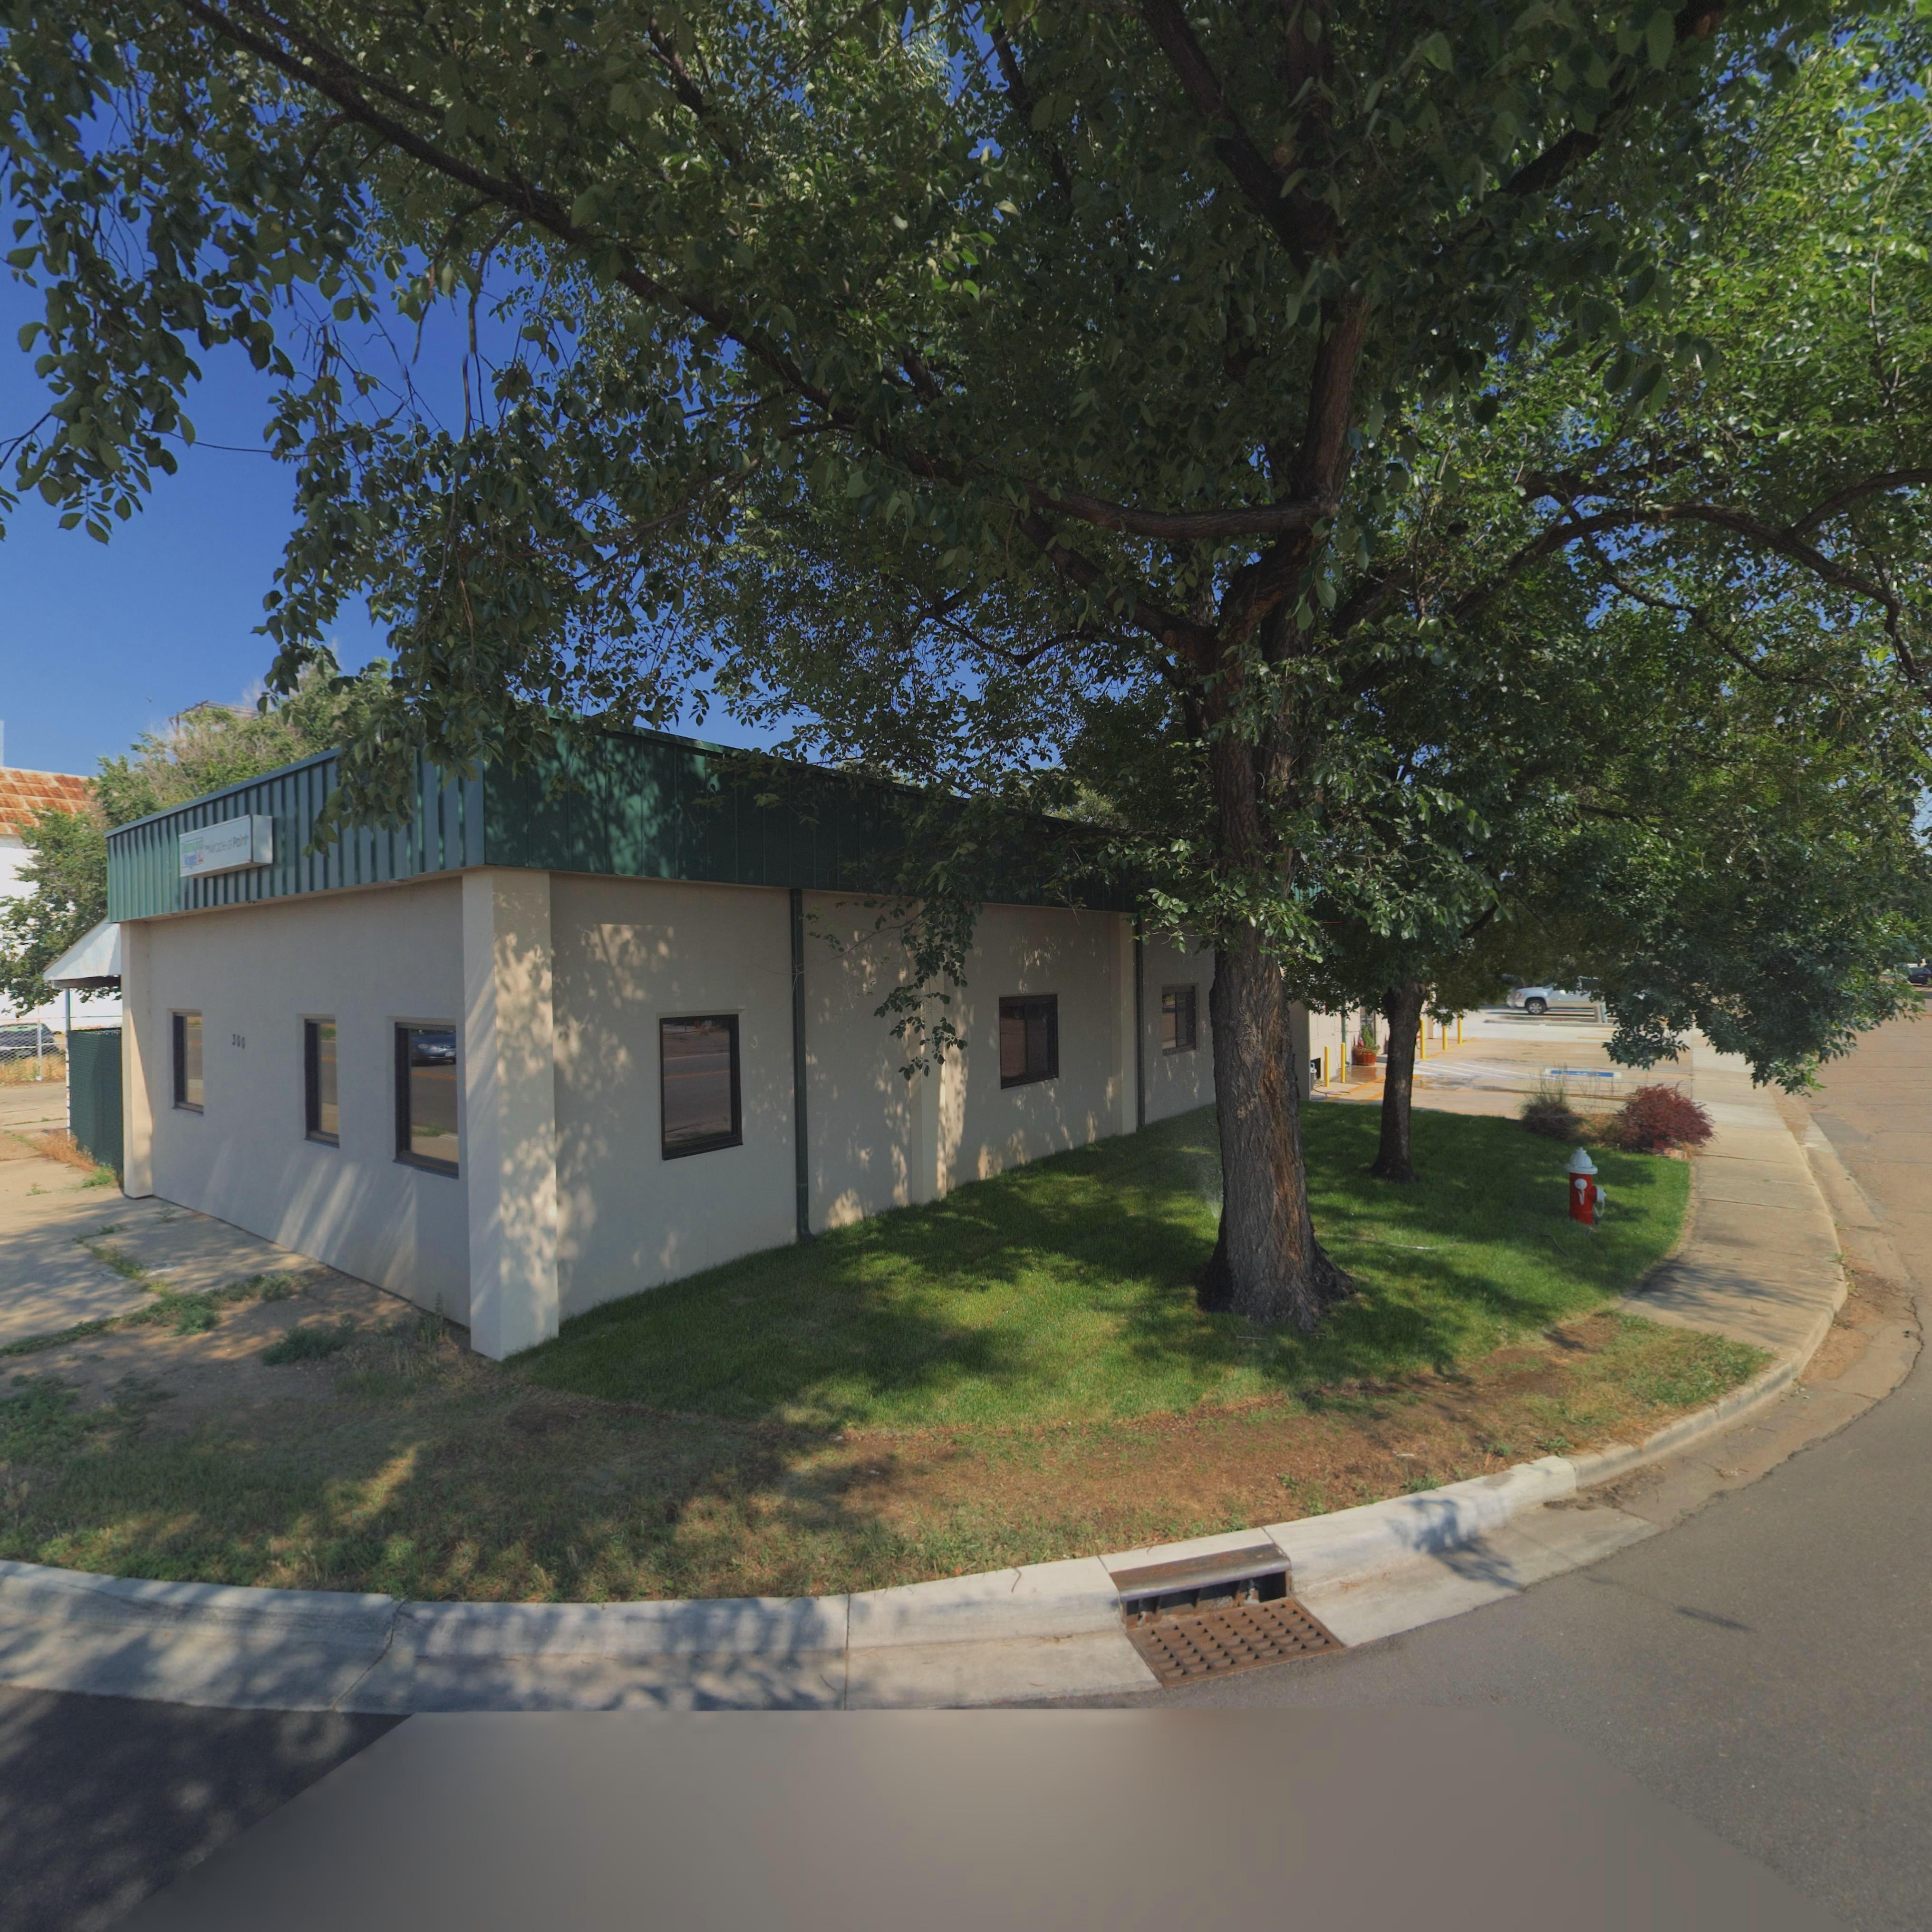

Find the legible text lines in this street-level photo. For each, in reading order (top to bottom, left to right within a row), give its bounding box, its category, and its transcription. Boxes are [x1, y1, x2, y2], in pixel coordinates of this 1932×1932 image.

[180, 839, 204, 855] BusinessName: D**on*
[203, 844, 210, 850] BusinessName: T**
[207, 832, 250, 855] BusinessName: ***acle of Paint
[183, 850, 198, 869] BusinessName: Voge*
[230, 1032, 247, 1050] StreetNumber: 300